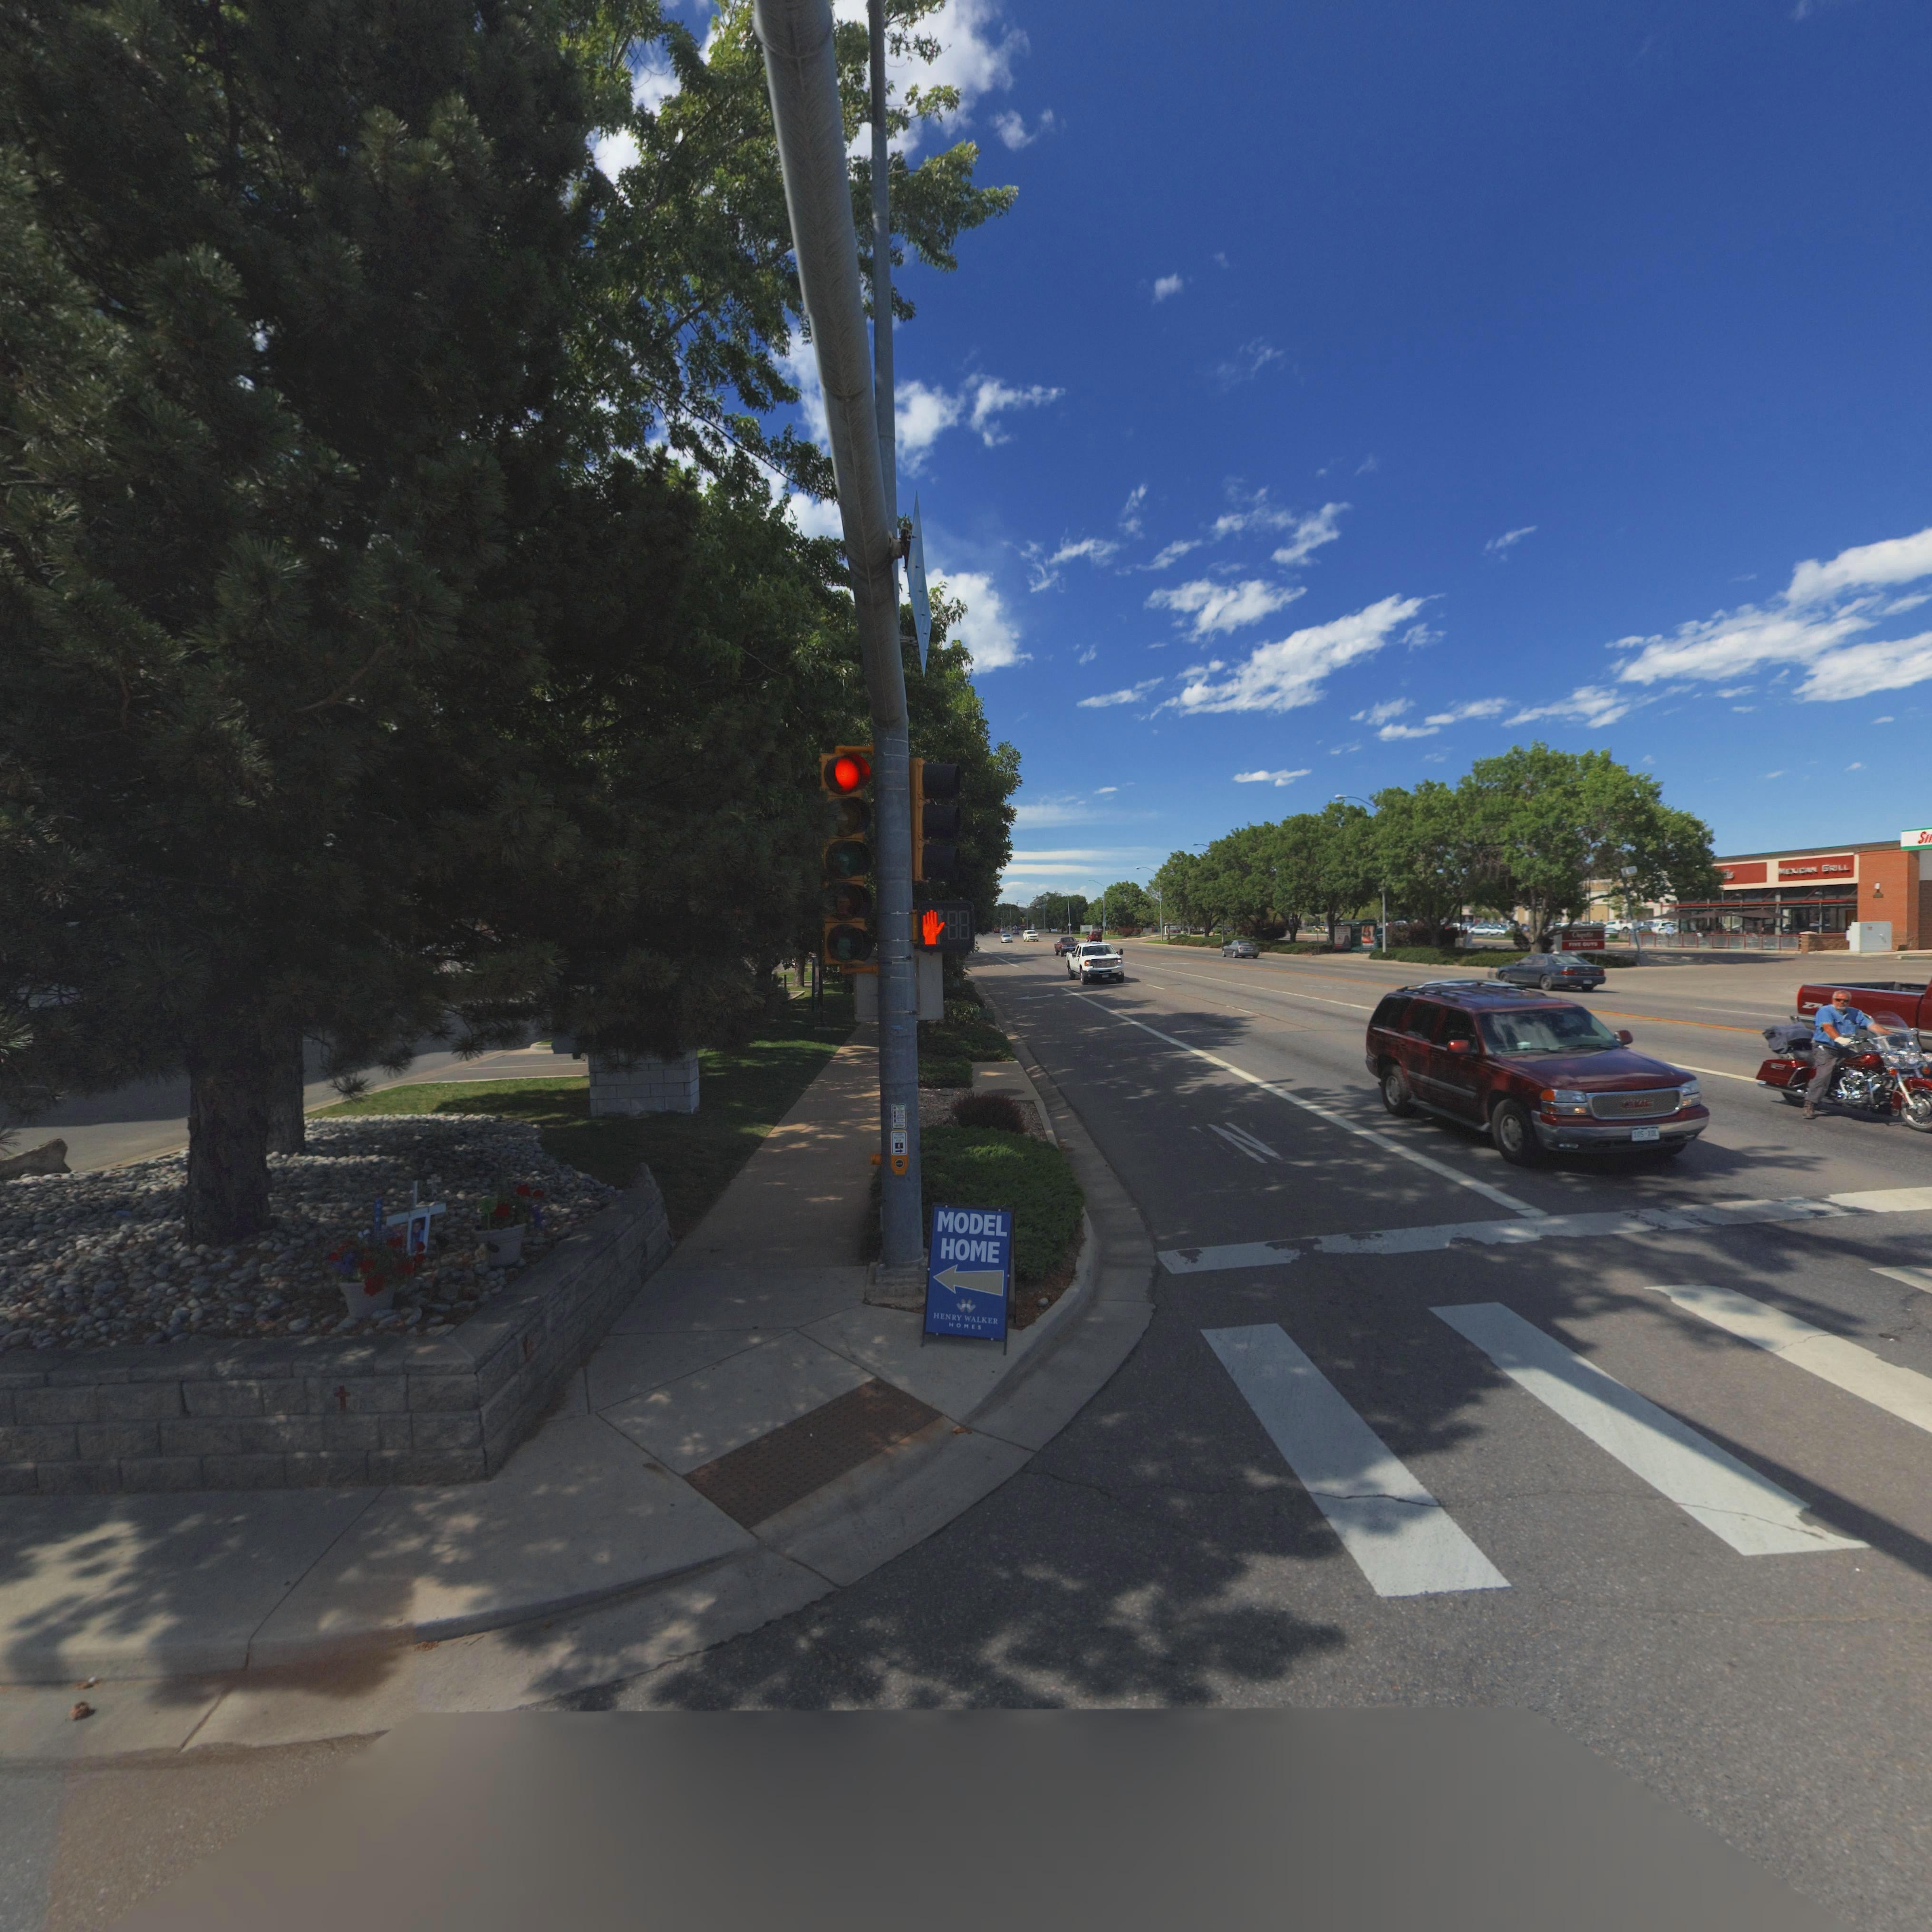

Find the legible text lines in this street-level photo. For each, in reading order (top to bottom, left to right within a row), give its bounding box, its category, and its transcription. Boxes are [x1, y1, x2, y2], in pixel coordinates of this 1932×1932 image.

[1917, 831, 1930, 844] BusinessName: Si
[1699, 869, 1734, 881] BusinessName: ******le
[1778, 863, 1849, 875] BusinessName: MEXICAN GRILL
[1571, 930, 1594, 940] BusinessName: Ch*po**e
[1568, 941, 1598, 947] BusinessName: FIVE GUYS